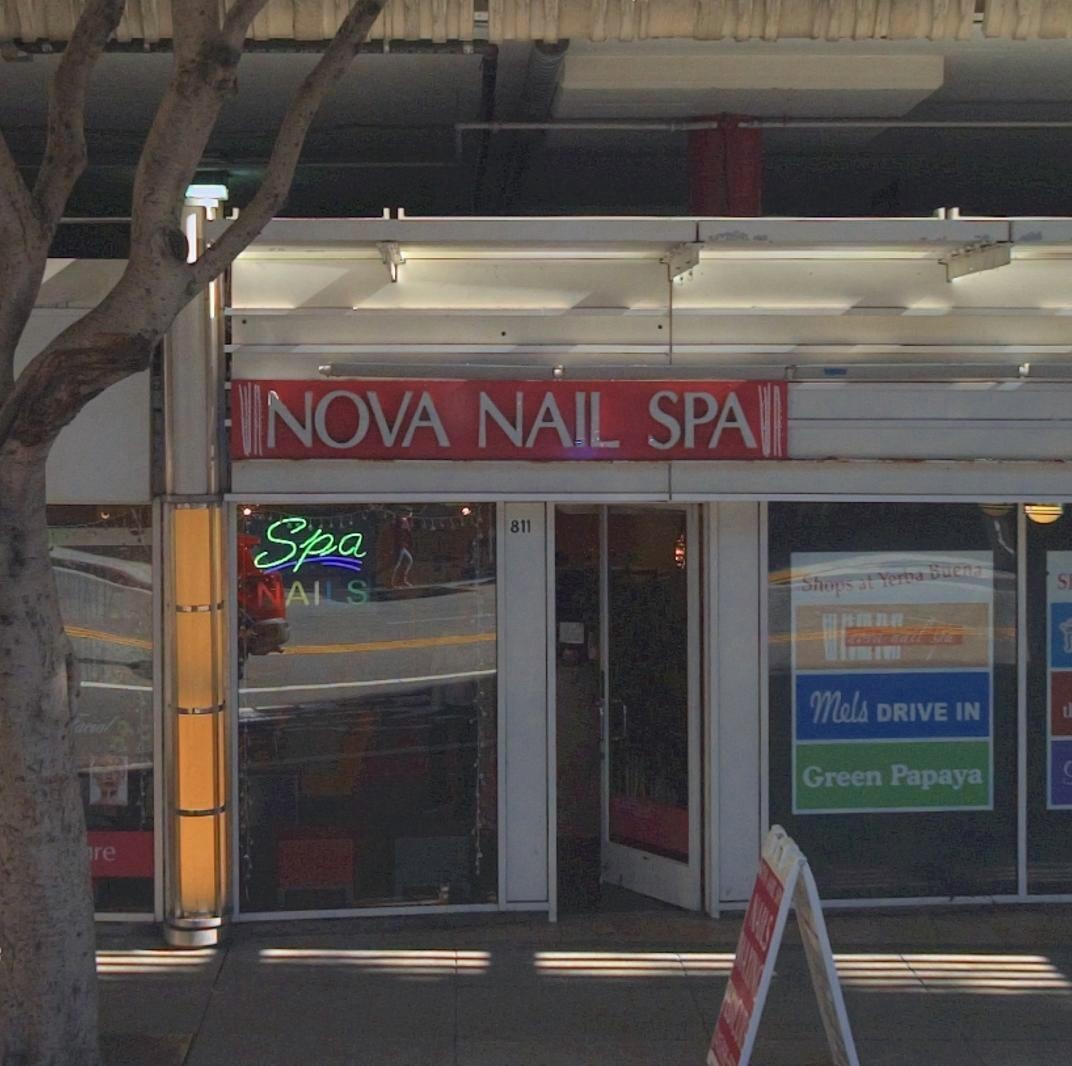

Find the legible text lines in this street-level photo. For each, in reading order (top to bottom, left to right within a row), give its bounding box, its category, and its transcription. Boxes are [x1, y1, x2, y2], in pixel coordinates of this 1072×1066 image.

[265, 388, 761, 451] BusinessName: NOVA NAIL SPA
[509, 518, 533, 534] StreetNumber: 811
[251, 514, 368, 575] None: Spa
[255, 579, 370, 609] None: NAILS
[799, 562, 983, 599] None: Shops at Yerba Buena
[1055, 571, 1068, 591] None: S
[807, 688, 981, 726] None: Mels DRIVE IN
[801, 763, 984, 791] None: Green Papaya
[93, 846, 118, 863] None: re